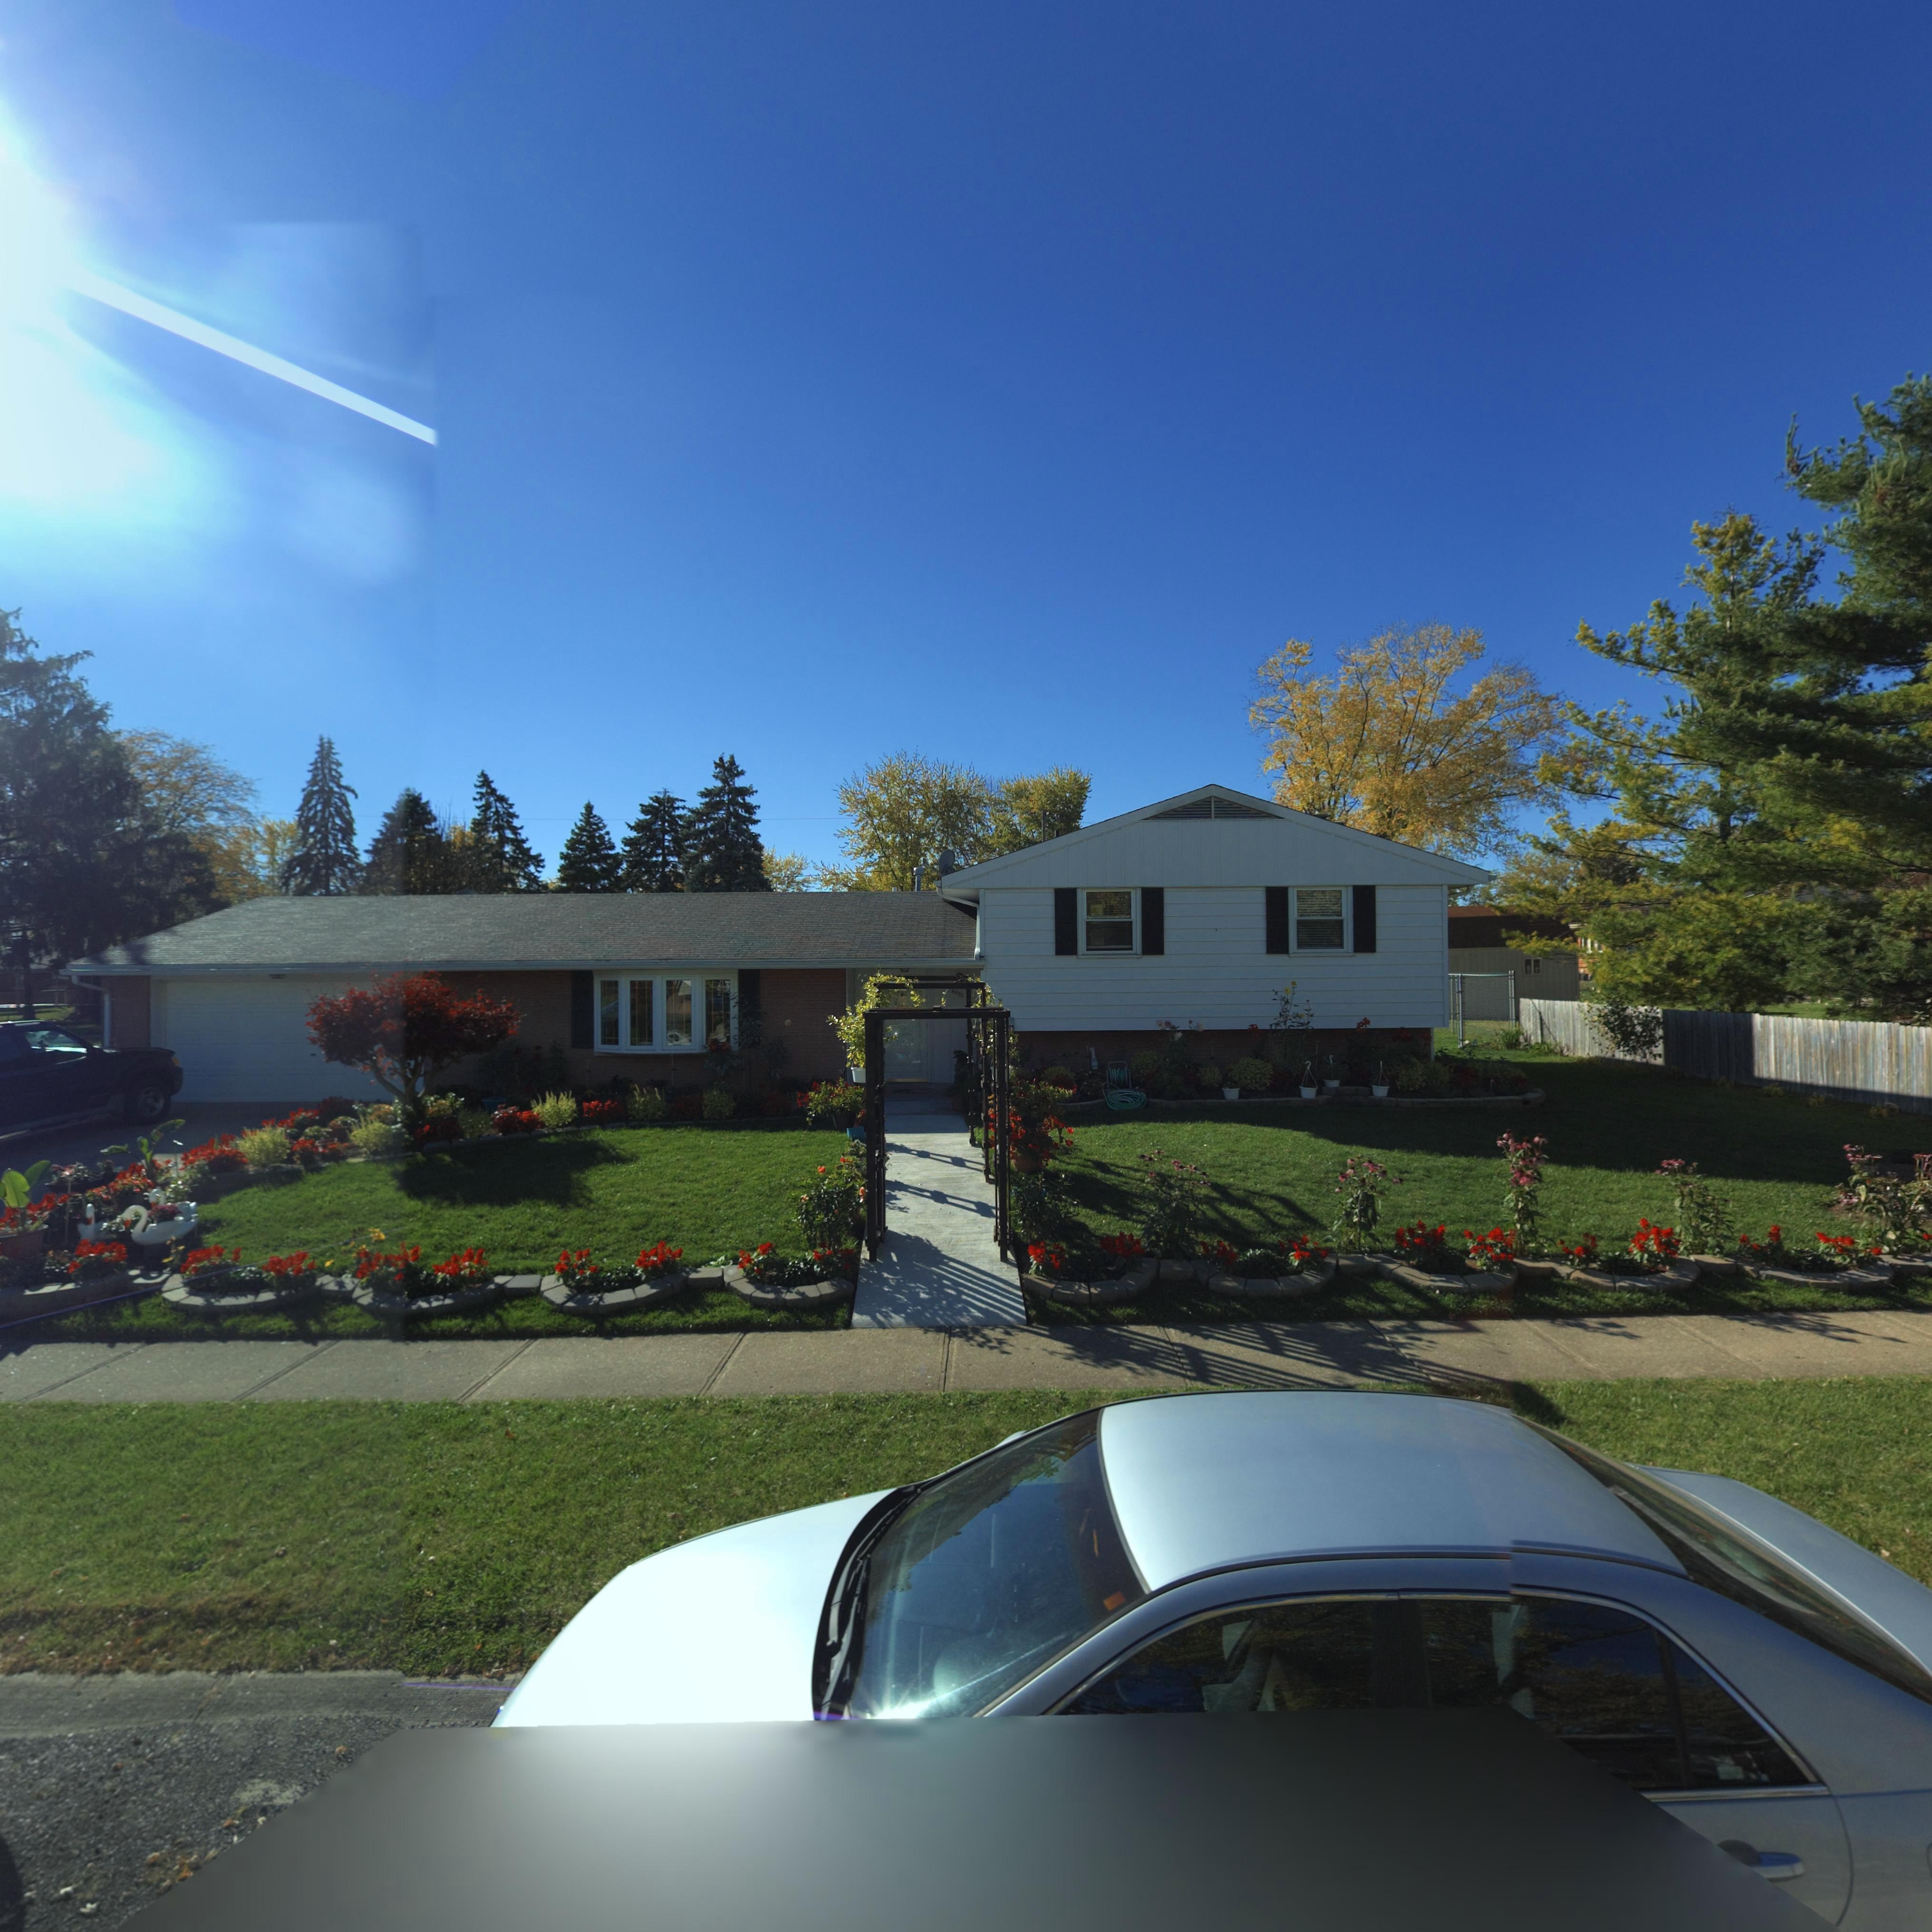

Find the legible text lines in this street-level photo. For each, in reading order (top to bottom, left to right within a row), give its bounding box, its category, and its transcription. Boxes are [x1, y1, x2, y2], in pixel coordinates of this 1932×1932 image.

[951, 988, 964, 998] StreetNumber: 6833